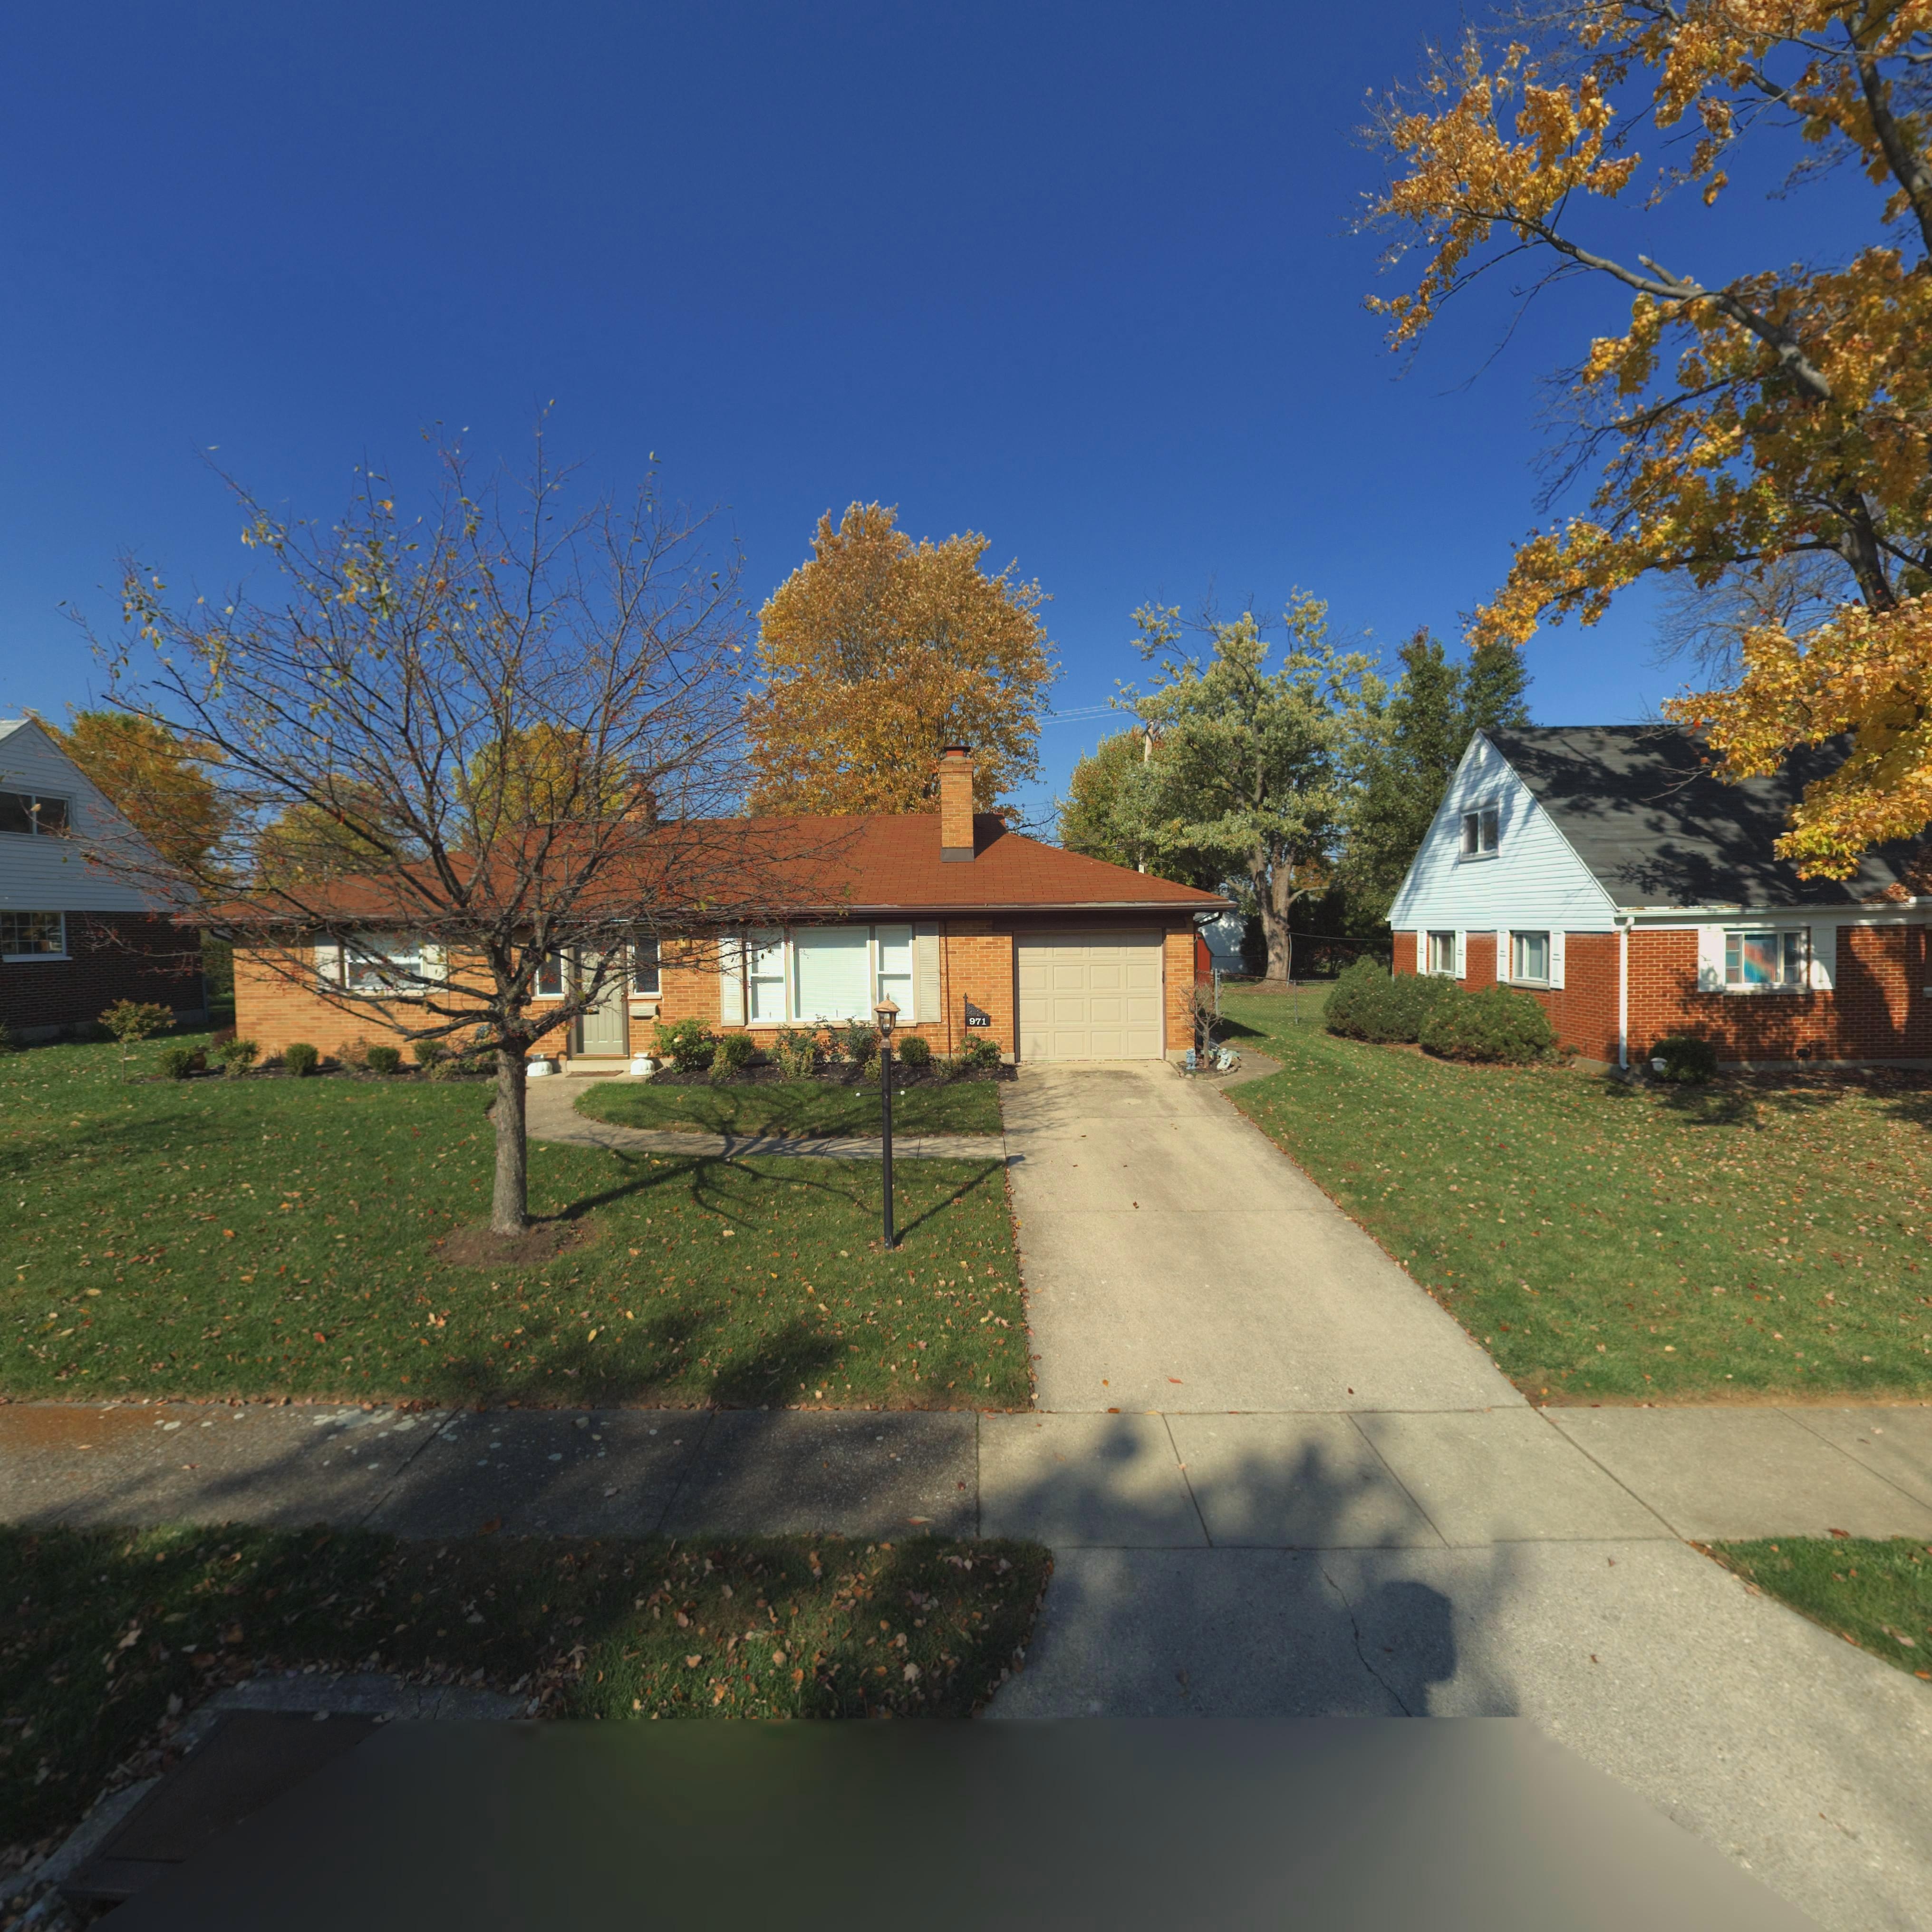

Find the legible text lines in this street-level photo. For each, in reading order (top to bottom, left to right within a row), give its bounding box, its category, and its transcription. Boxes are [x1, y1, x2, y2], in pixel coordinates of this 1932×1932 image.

[969, 1017, 987, 1025] StreetNumber: 971